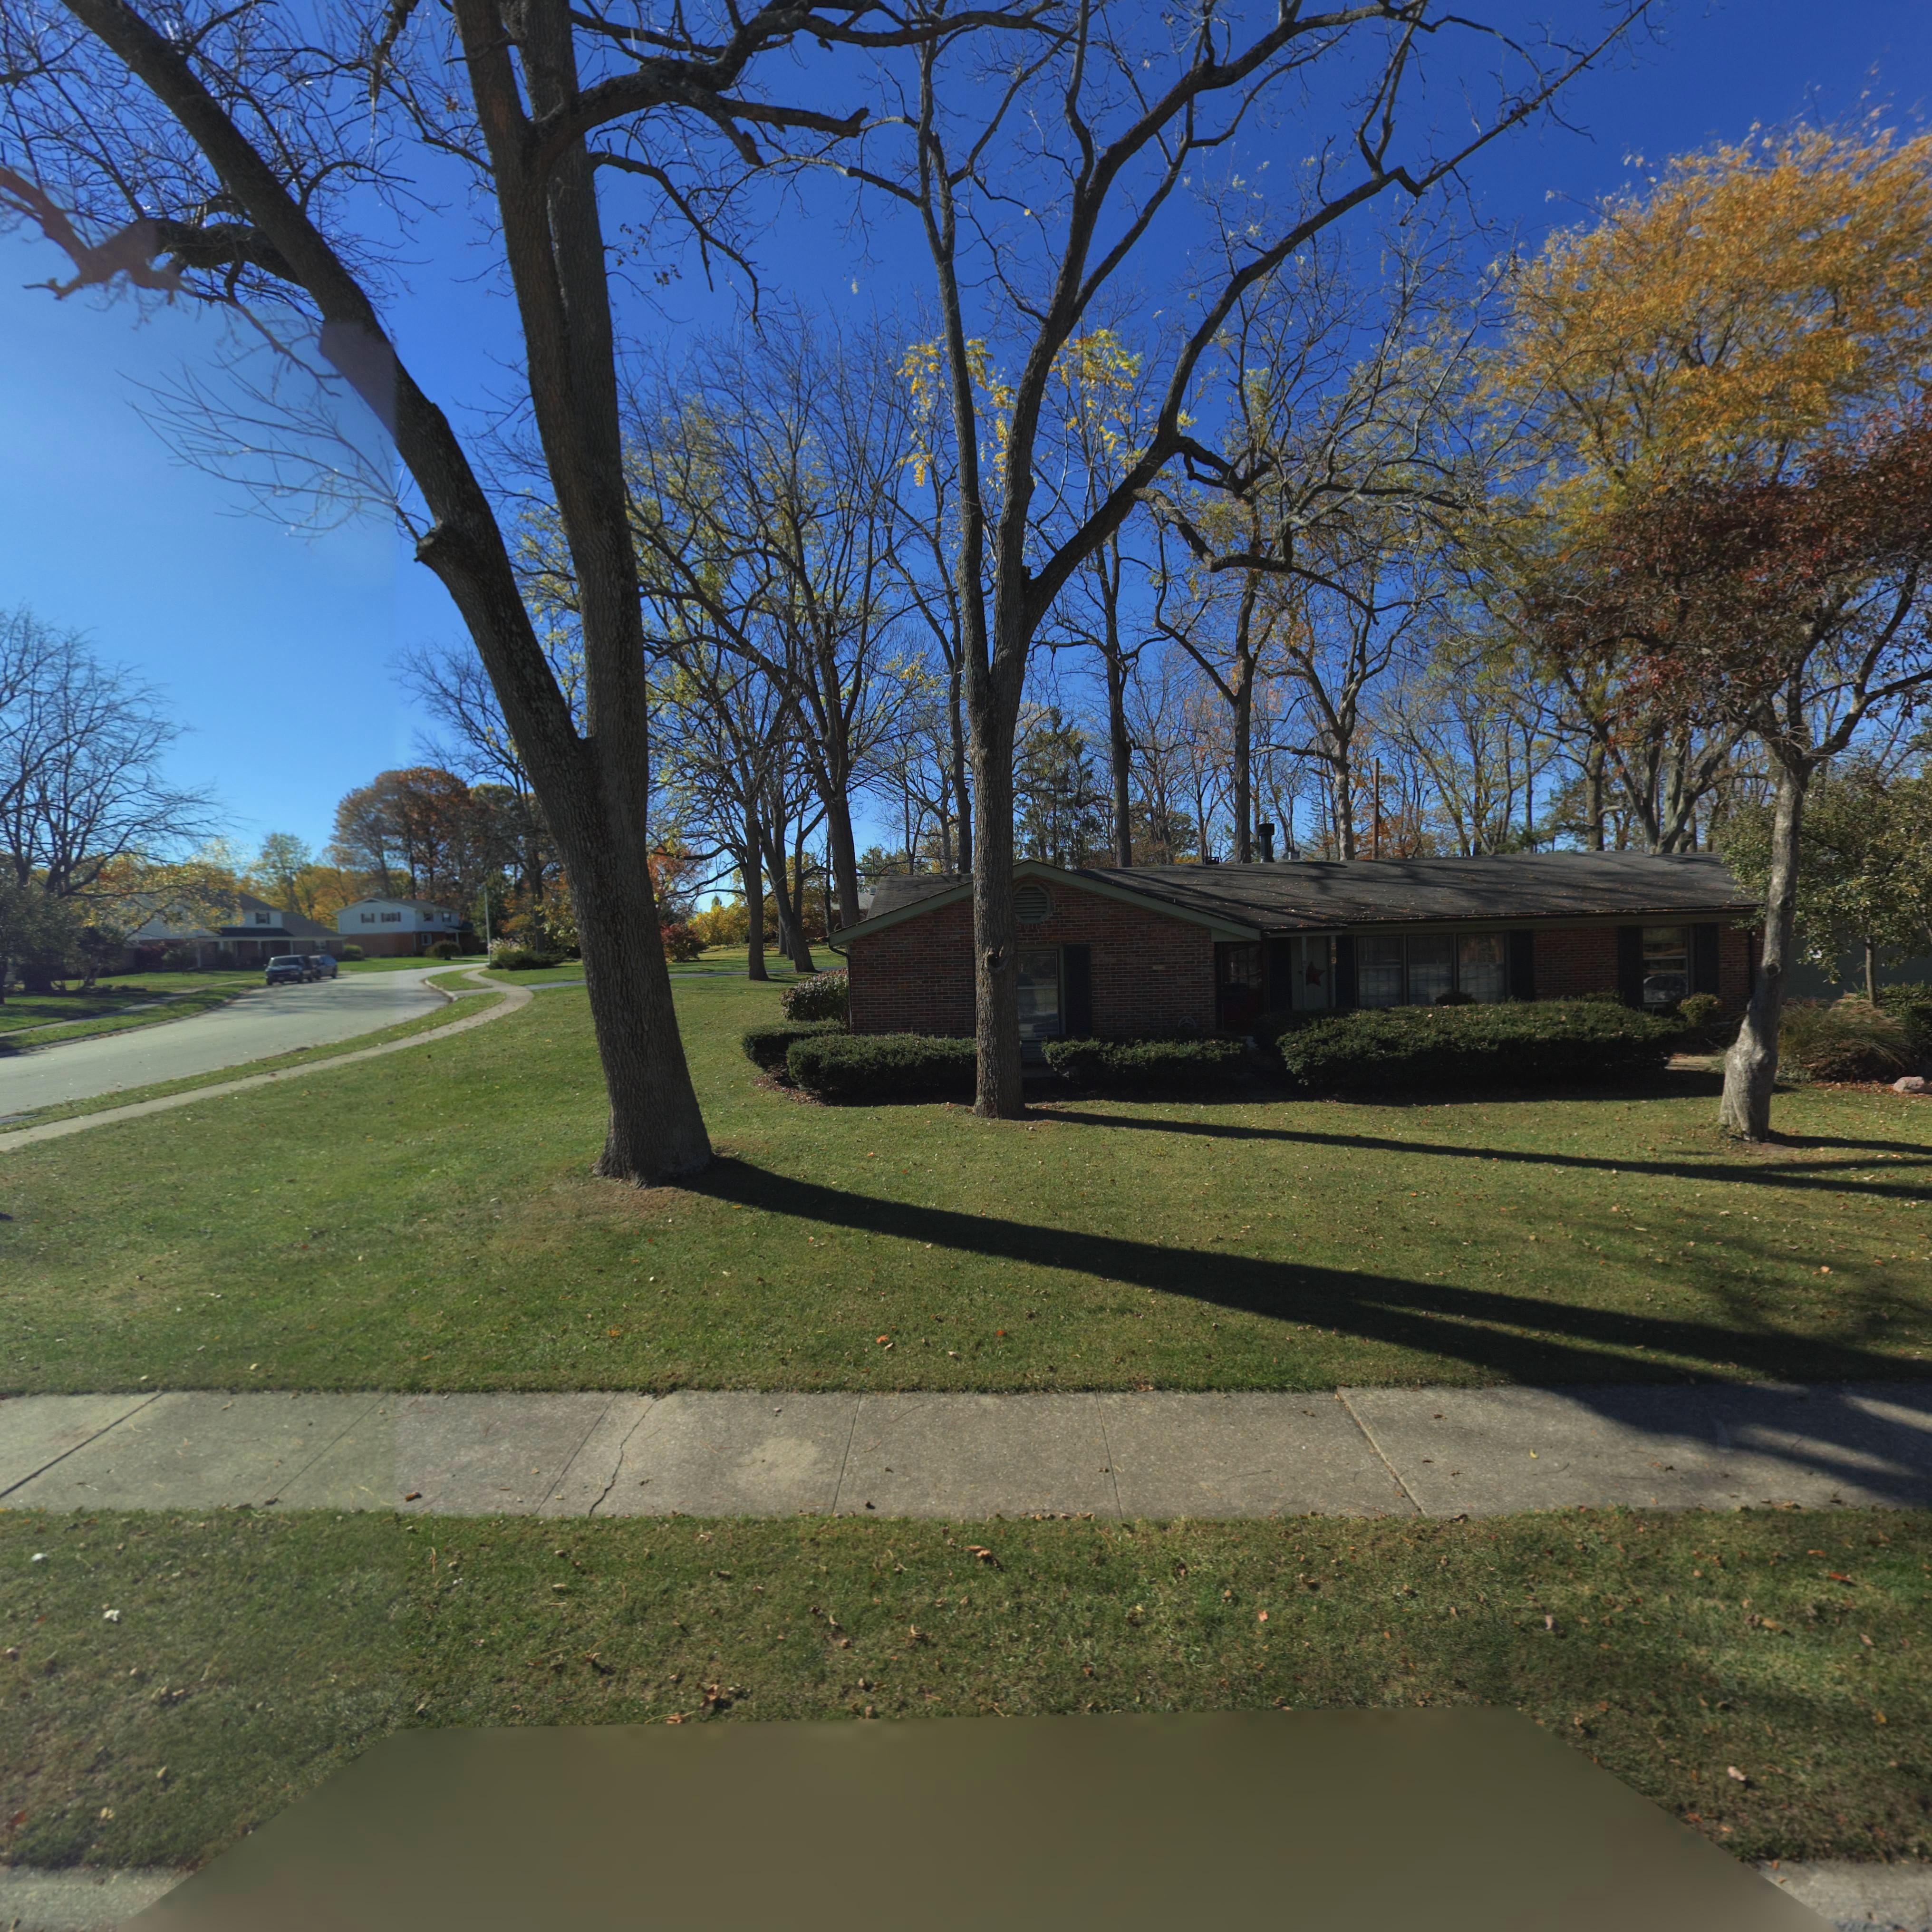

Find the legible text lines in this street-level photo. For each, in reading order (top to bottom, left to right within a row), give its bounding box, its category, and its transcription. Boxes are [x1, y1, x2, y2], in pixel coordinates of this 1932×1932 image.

[1331, 942, 1337, 964] StreetNumber: 5*9